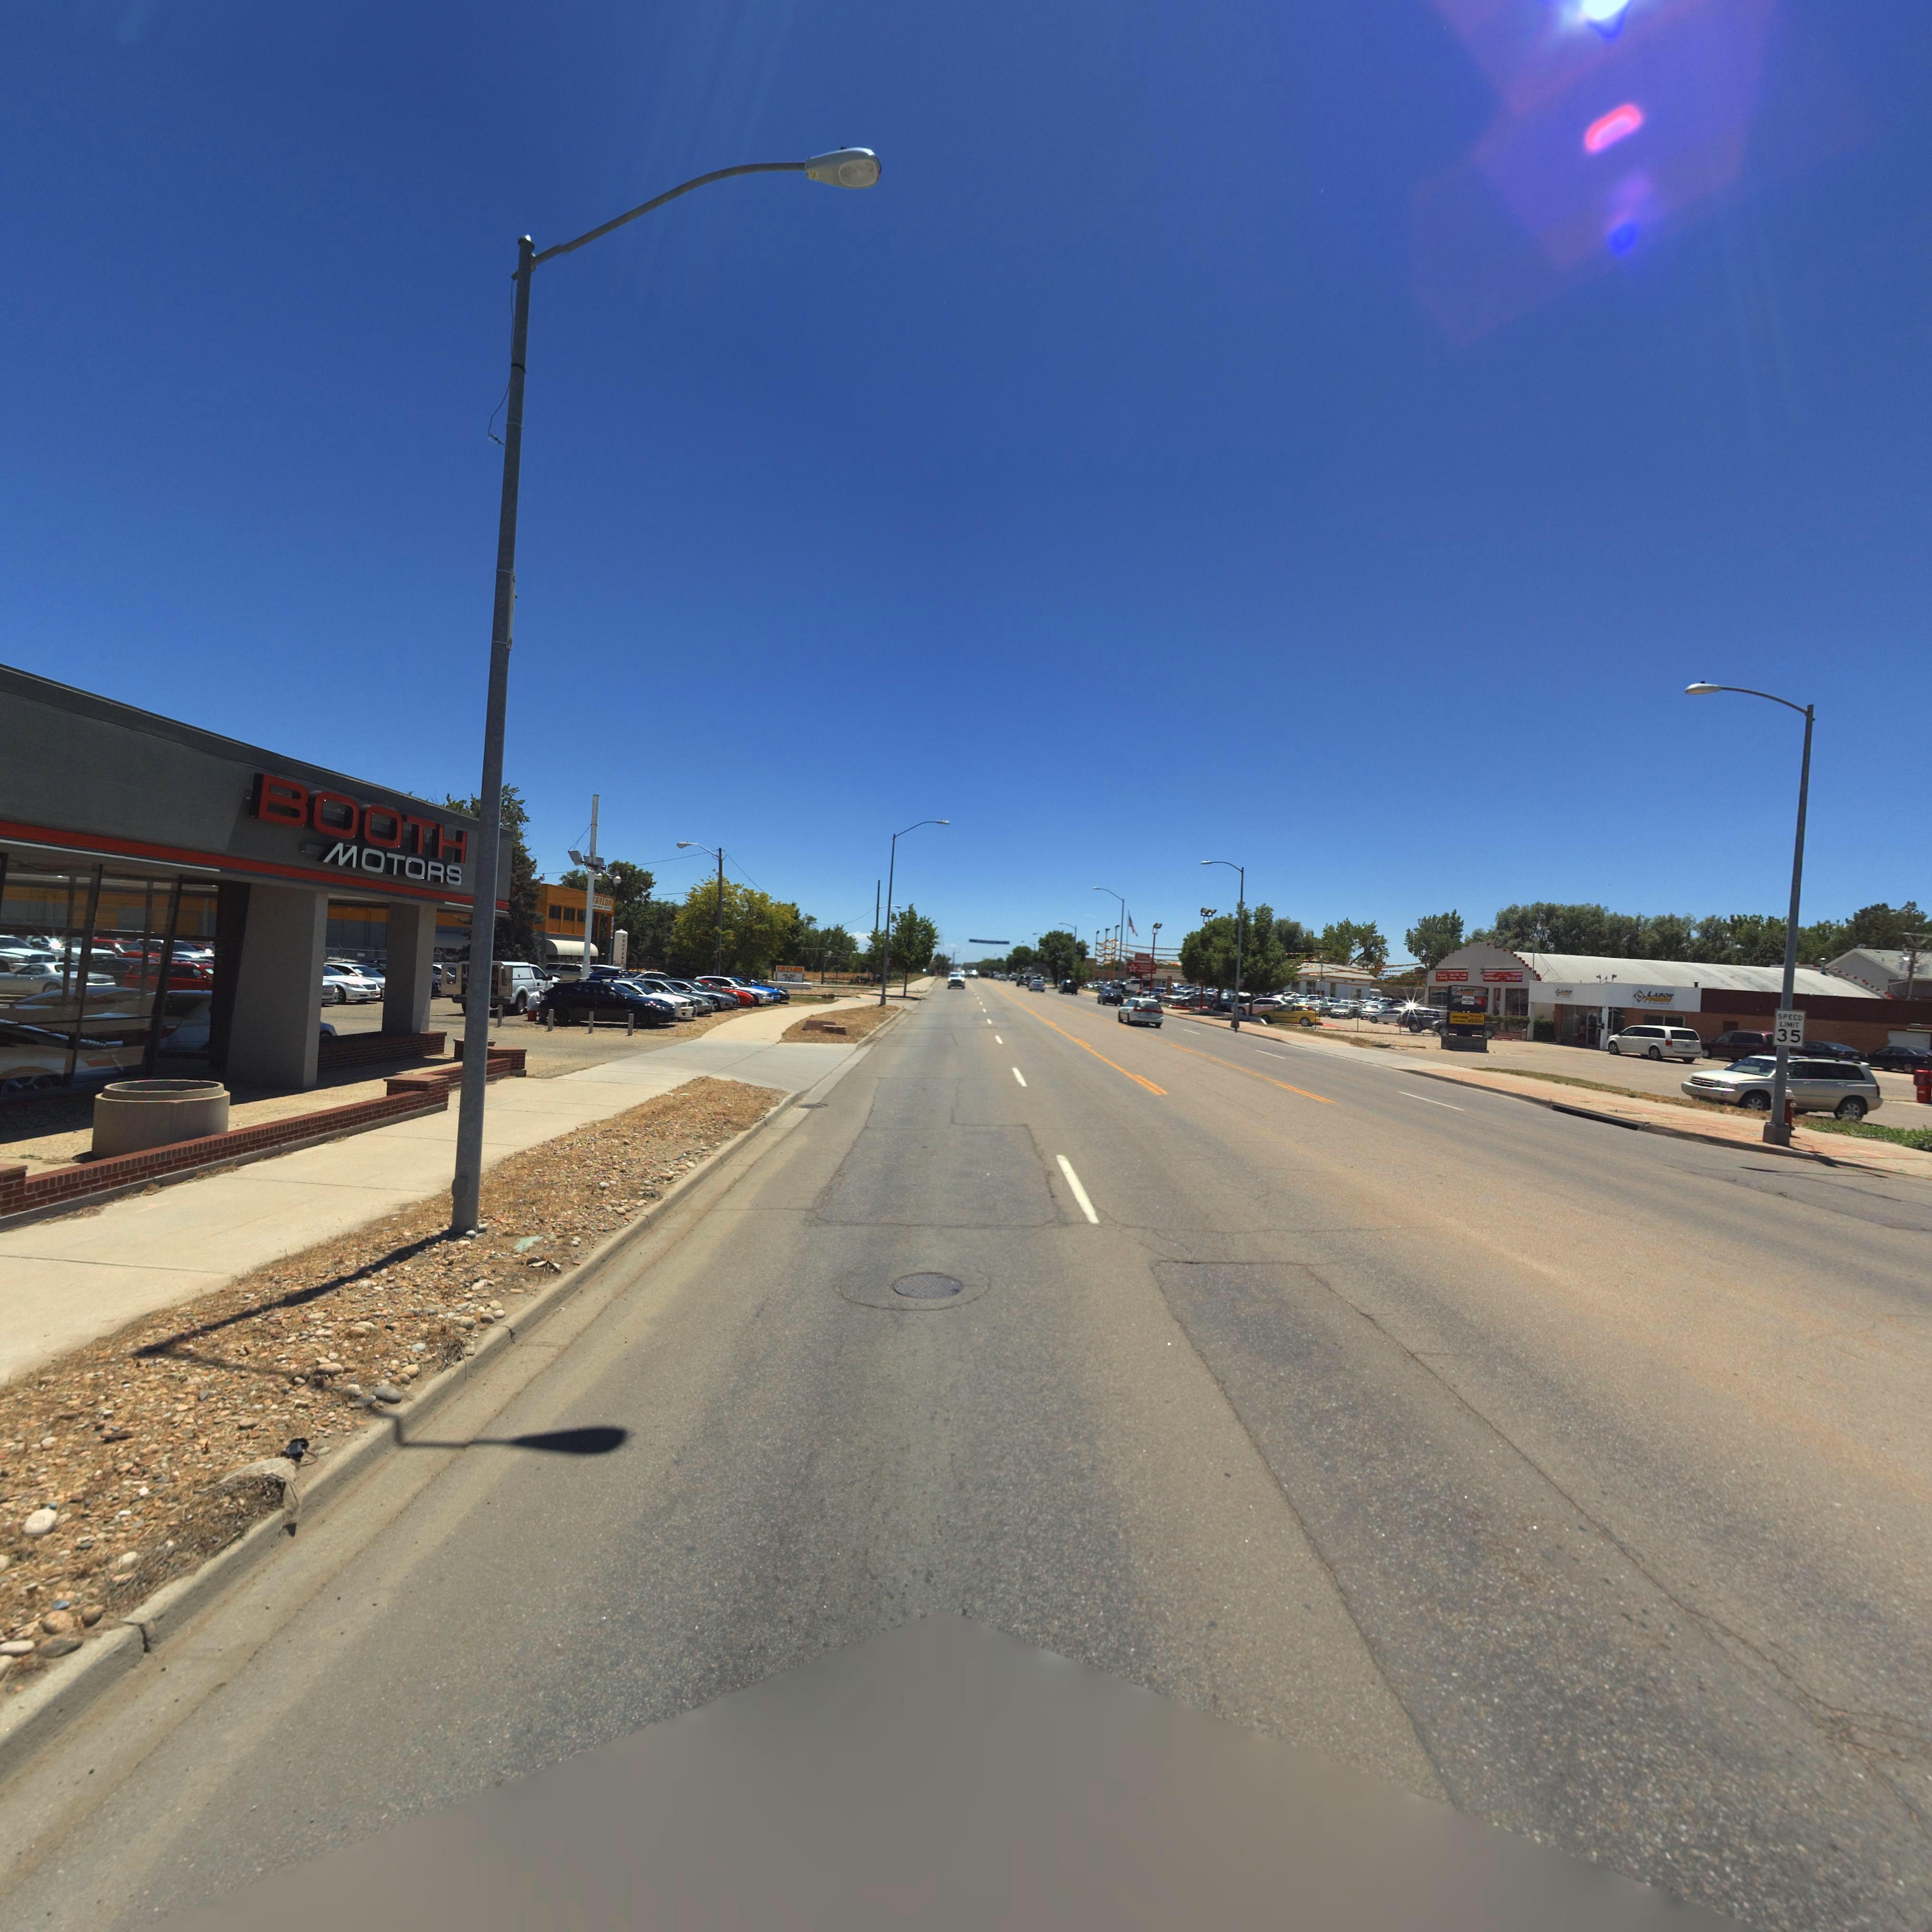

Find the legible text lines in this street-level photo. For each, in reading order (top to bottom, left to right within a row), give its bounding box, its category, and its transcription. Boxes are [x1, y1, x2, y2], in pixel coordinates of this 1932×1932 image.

[255, 772, 468, 865] BusinessName: BOOTH
[321, 841, 462, 887] BusinessName: MOTORS
[592, 896, 612, 907] BusinessName: *AYLOR
[776, 966, 803, 972] BusinessName: TAYLO*
[1459, 987, 1475, 992] BusinessName: L****
[1646, 991, 1674, 998] BusinessName: LABOR
[1642, 996, 1672, 1003] BusinessName: F******